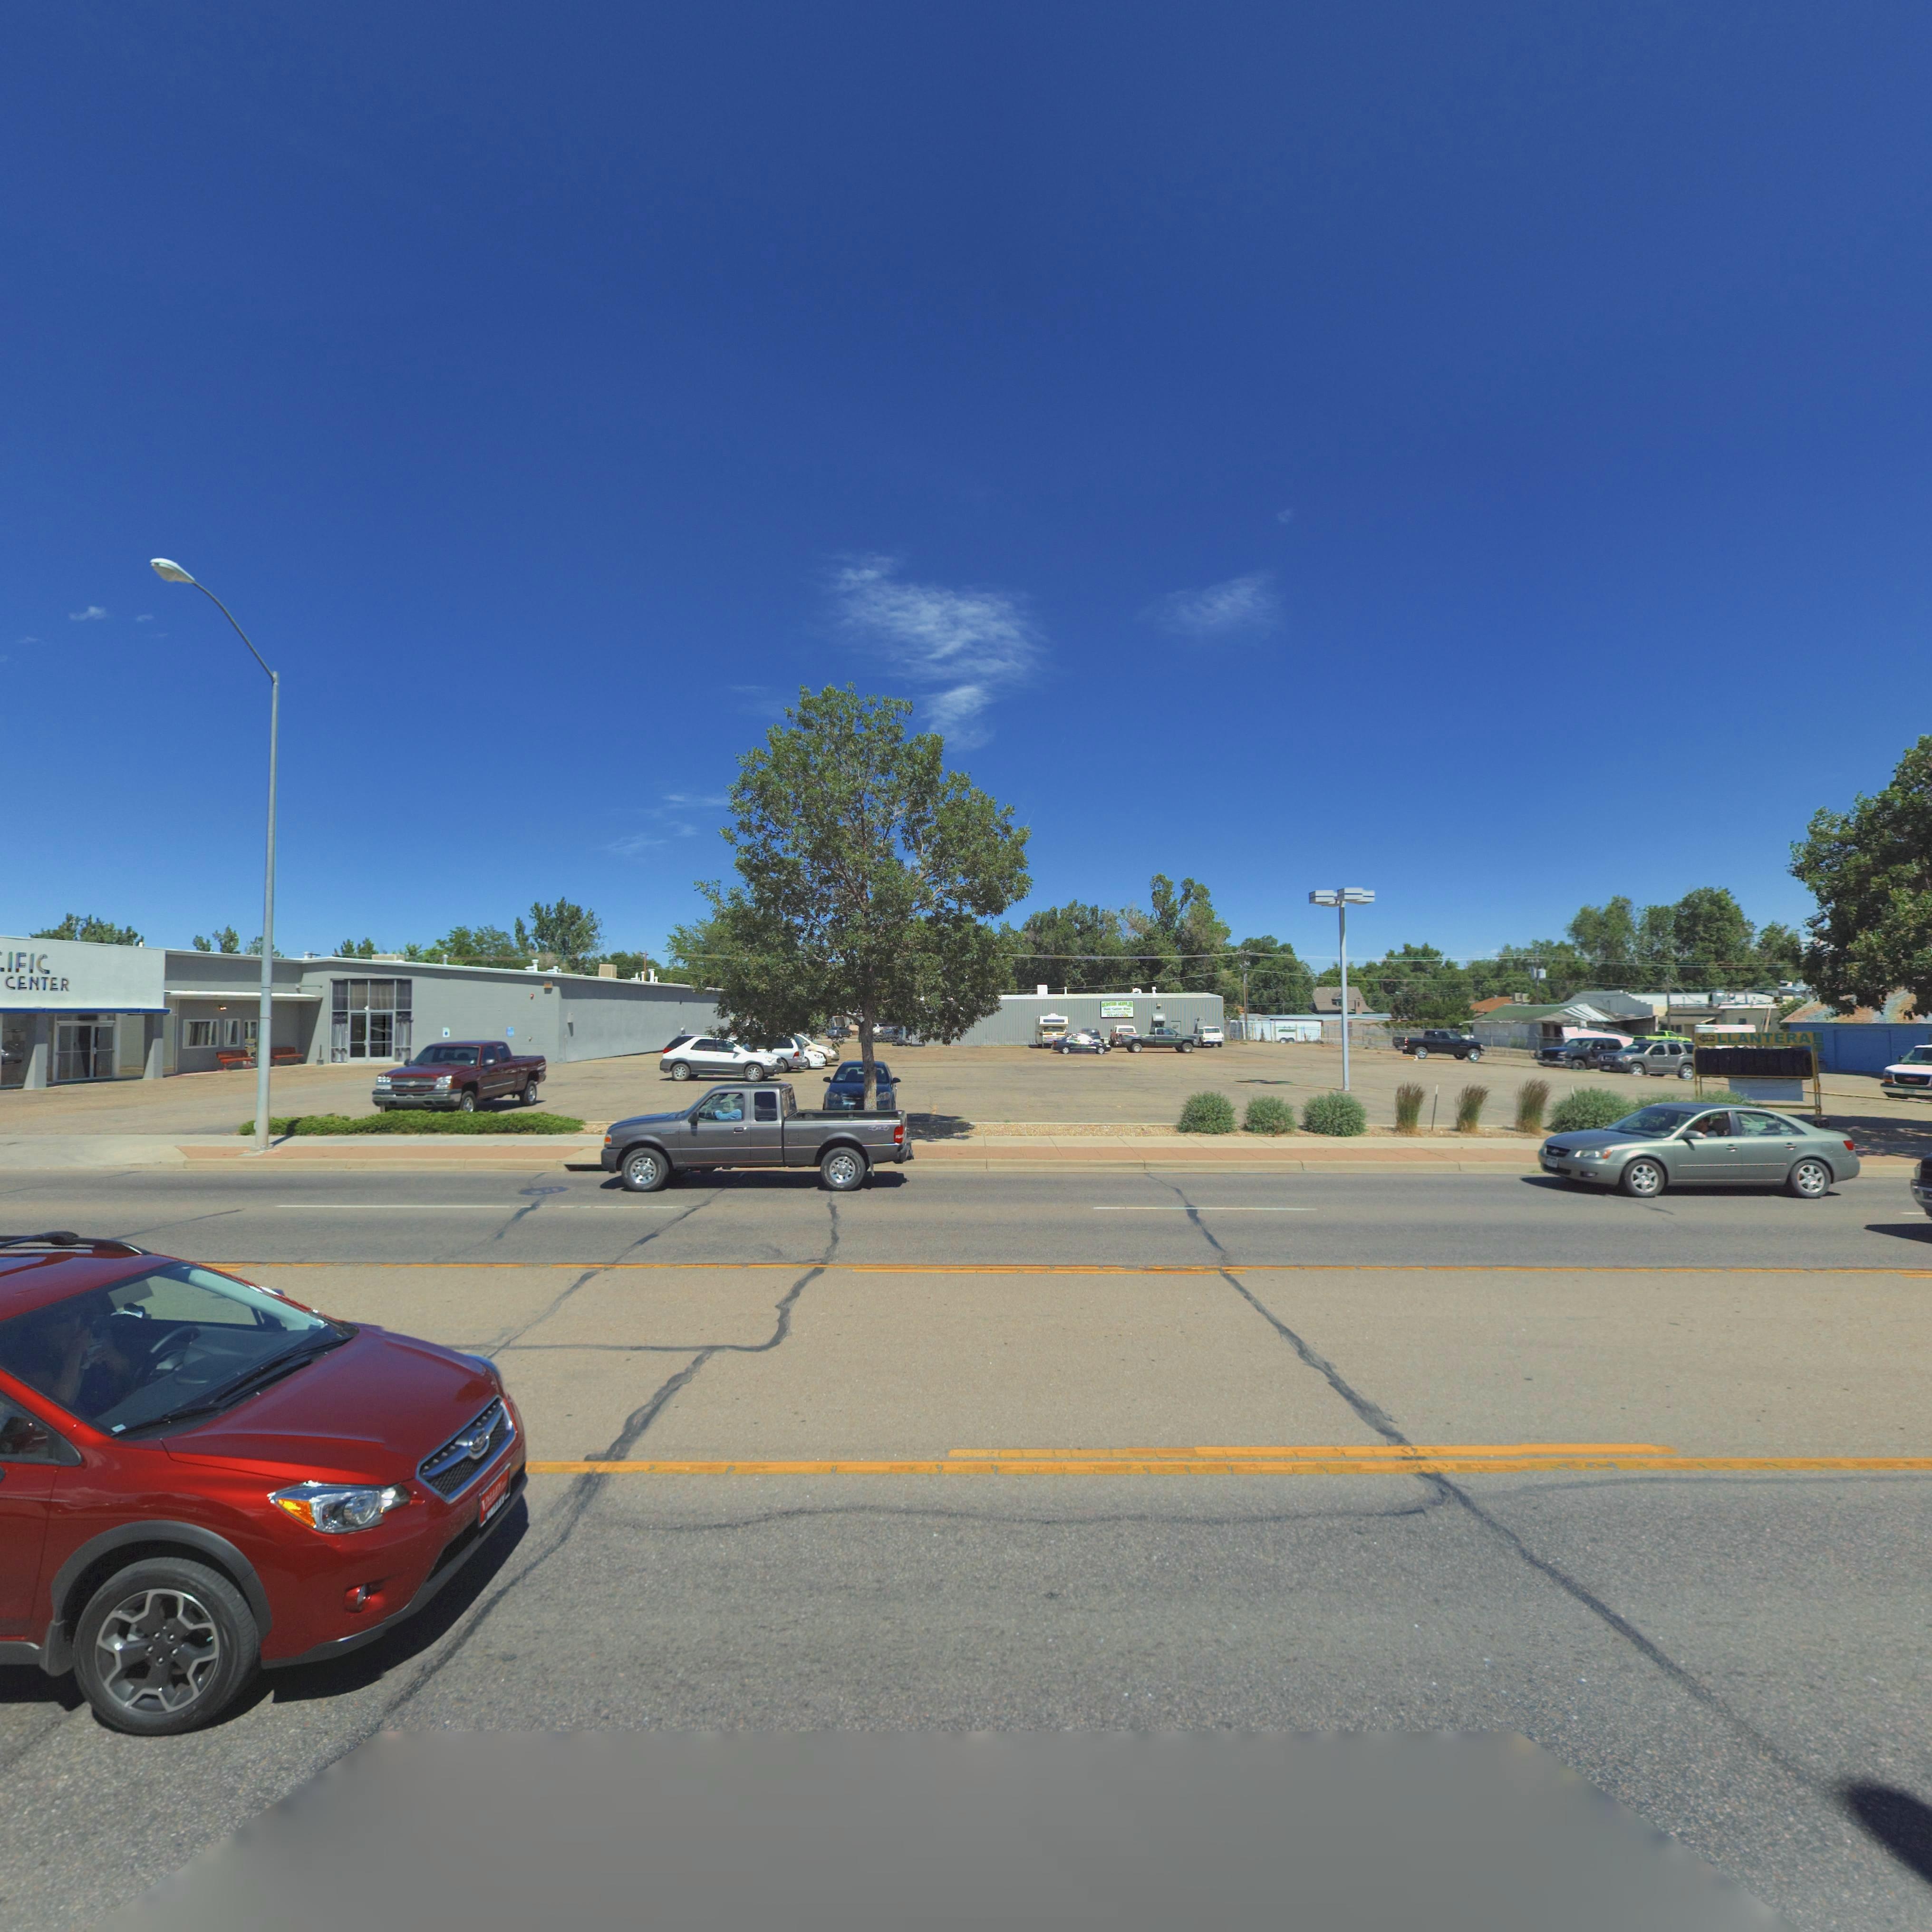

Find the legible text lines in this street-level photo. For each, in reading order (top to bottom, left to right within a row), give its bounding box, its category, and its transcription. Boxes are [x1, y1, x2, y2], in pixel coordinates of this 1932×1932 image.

[7, 951, 50, 975] BusinessName: IFIC
[6, 950, 51, 974] BusinessName: IFIC
[3, 976, 70, 992] BusinessName: CENTER